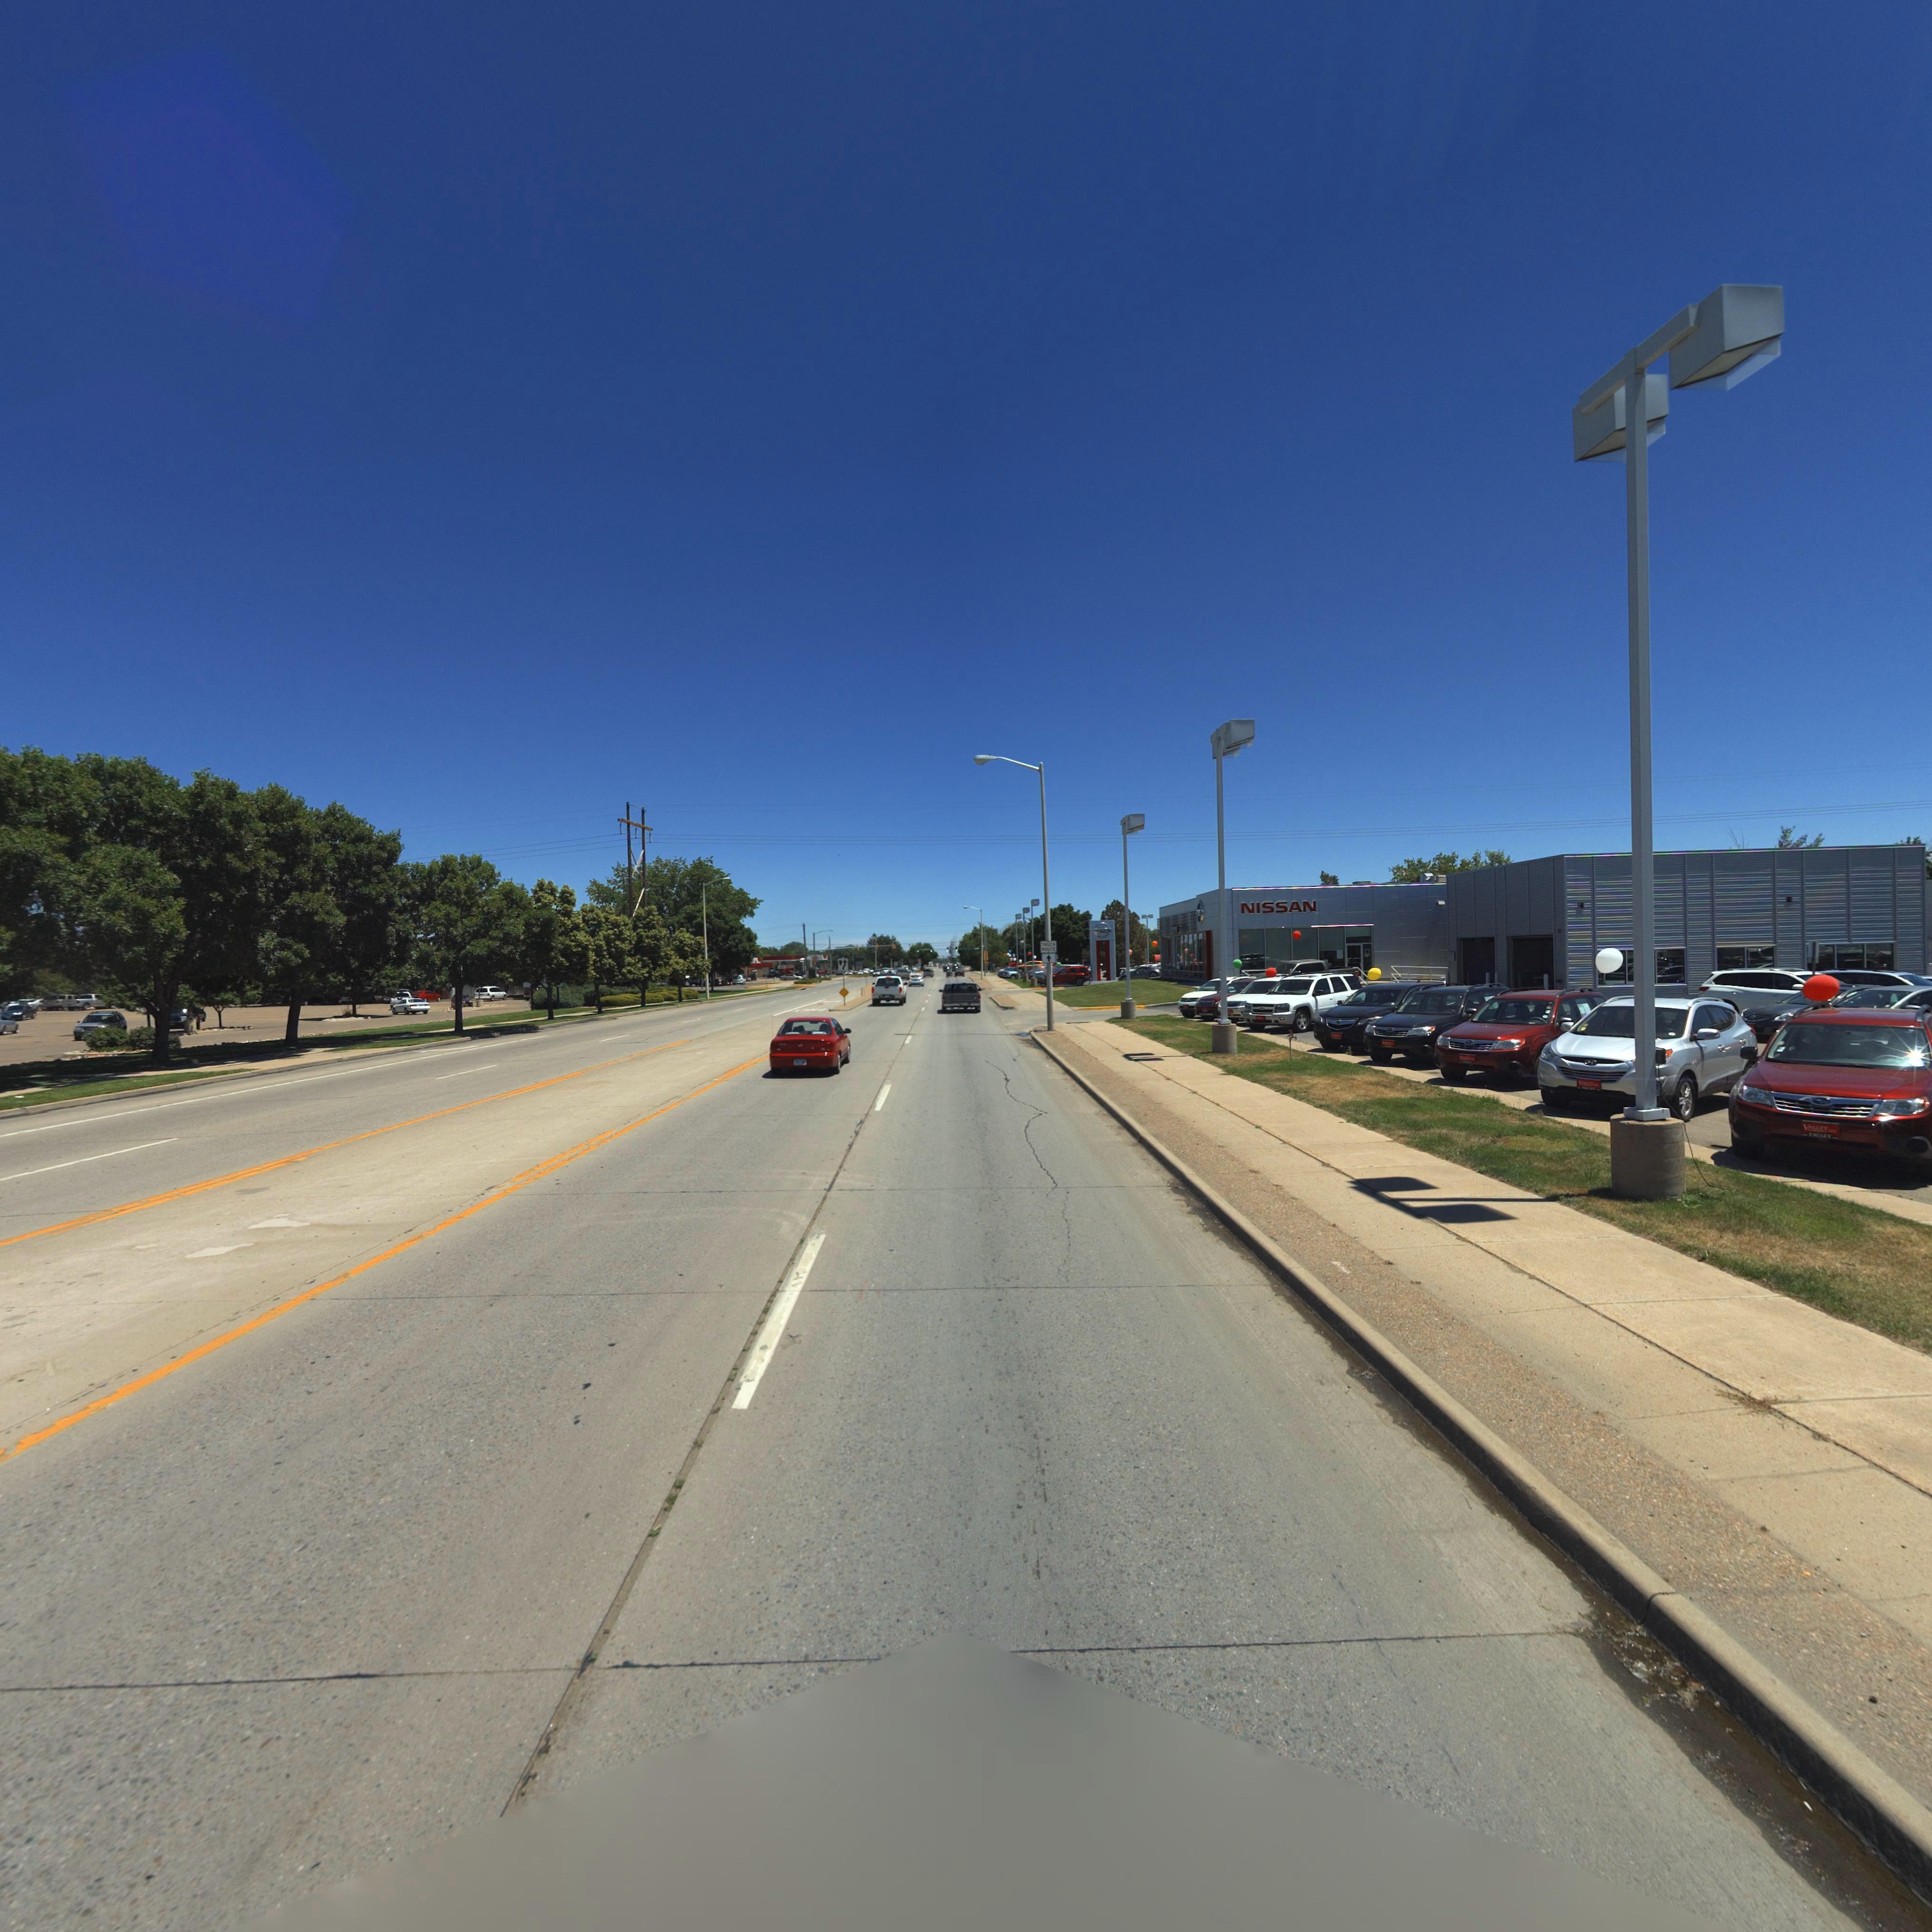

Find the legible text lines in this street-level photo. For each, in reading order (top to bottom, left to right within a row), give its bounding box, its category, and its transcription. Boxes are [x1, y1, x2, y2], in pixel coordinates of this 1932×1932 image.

[1240, 900, 1316, 914] BusinessName: NISSAN